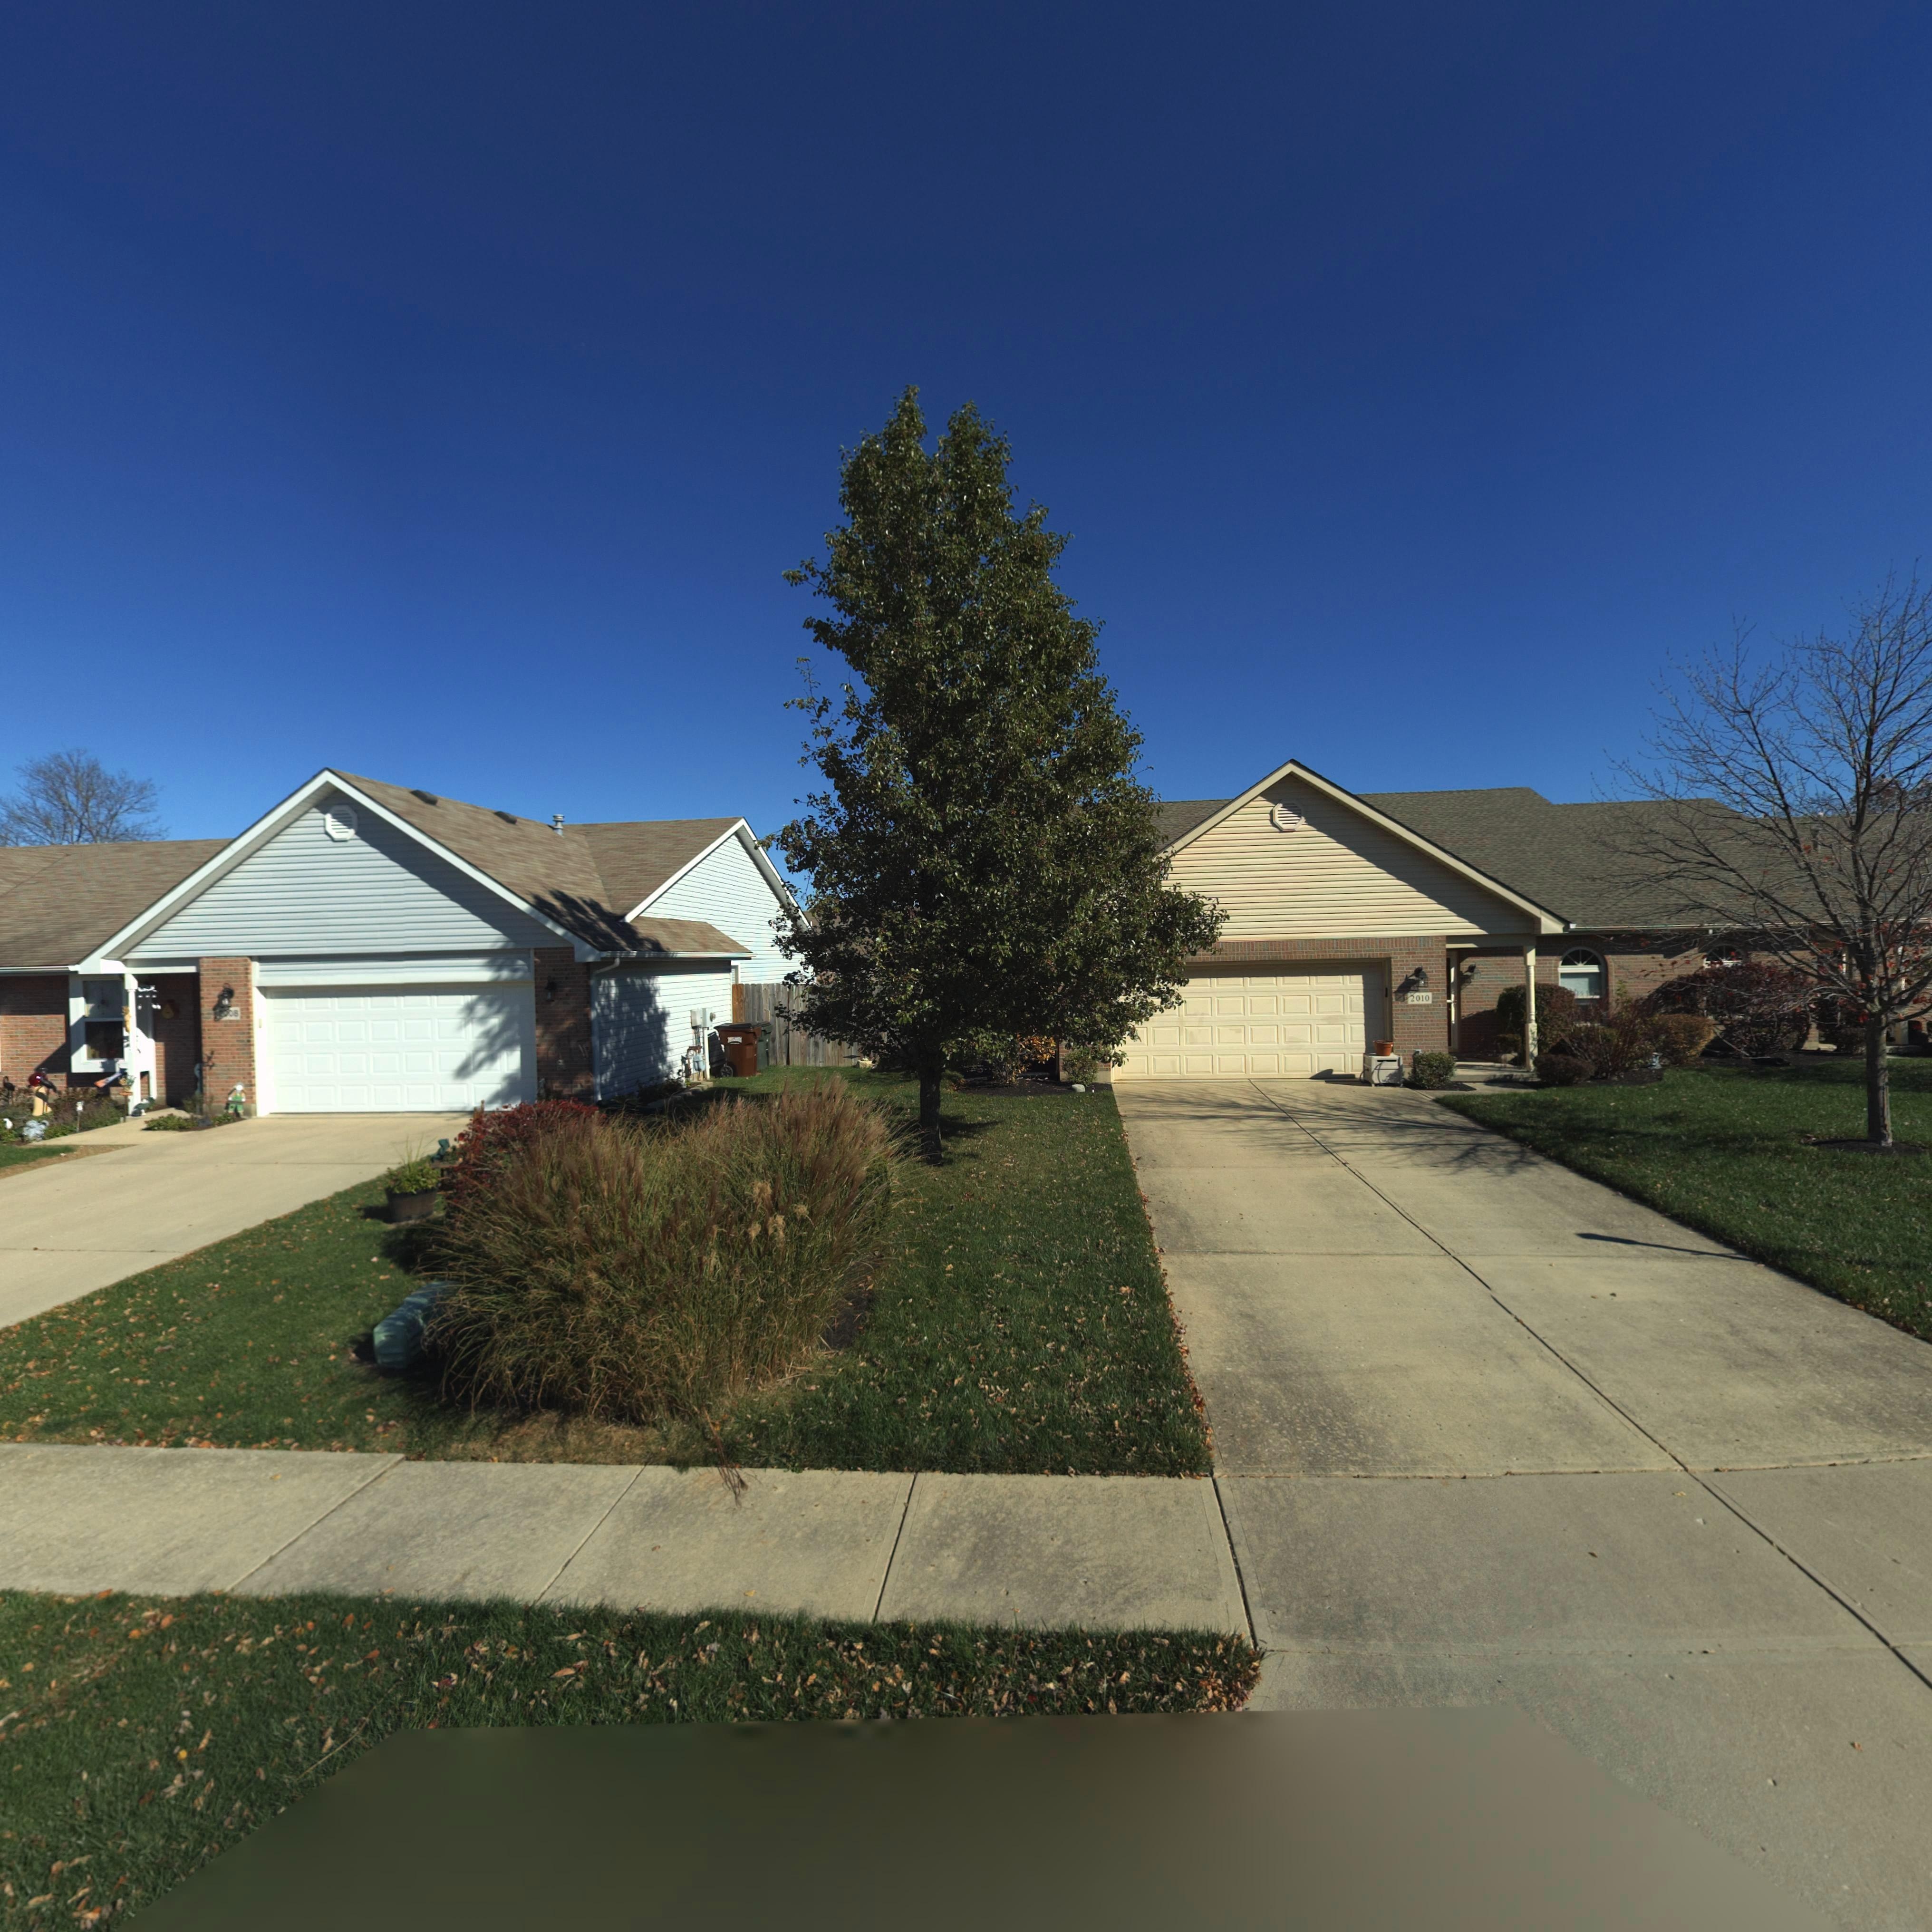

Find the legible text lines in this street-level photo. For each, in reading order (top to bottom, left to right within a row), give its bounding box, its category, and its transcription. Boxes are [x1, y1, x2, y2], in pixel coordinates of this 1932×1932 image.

[1409, 994, 1431, 1003] StreetNumber: 2010
[217, 1009, 240, 1018] StreetNumber: *00*